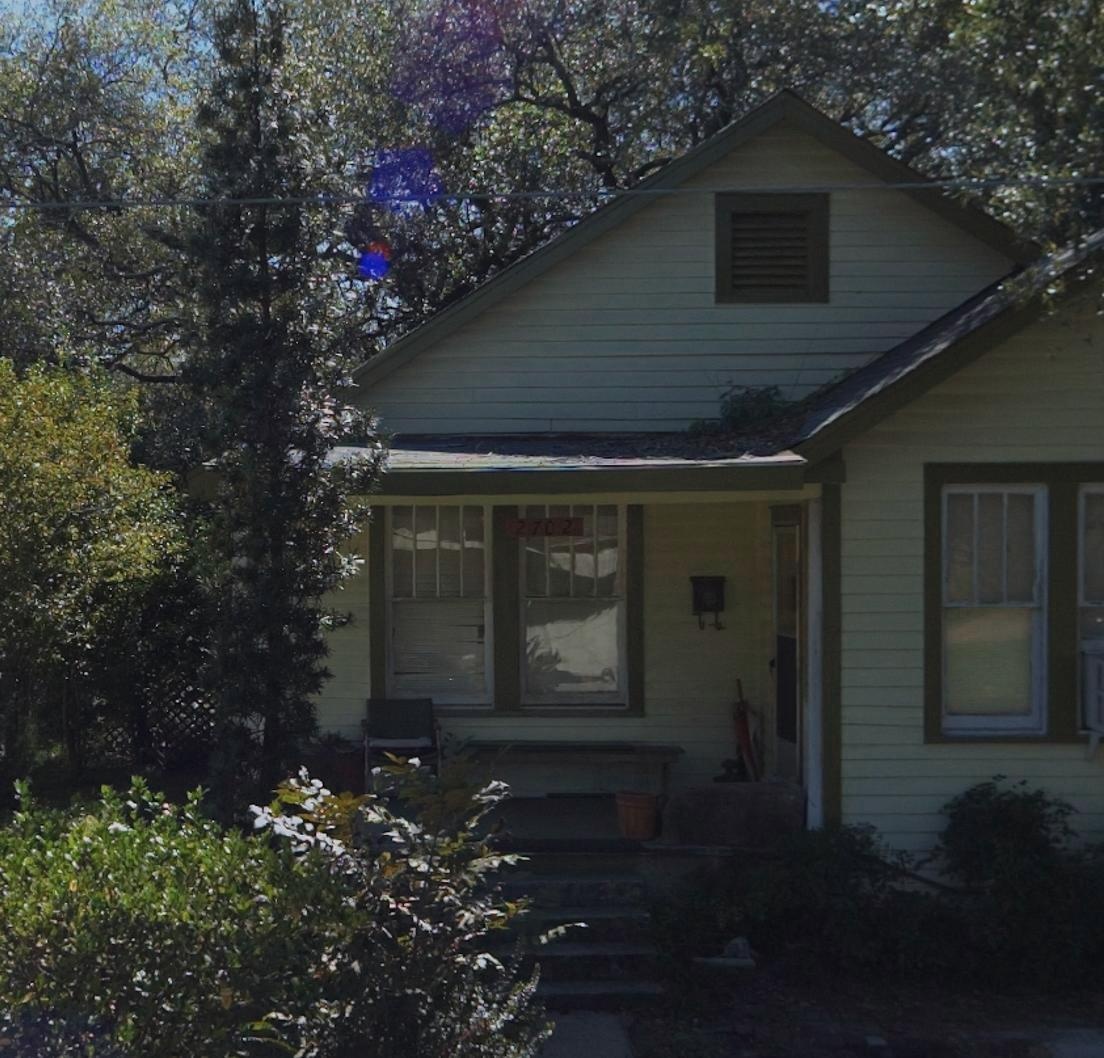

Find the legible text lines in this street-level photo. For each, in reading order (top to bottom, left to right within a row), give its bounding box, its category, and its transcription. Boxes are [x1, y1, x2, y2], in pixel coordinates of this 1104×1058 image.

[513, 518, 574, 536] StreetNumber: 2702